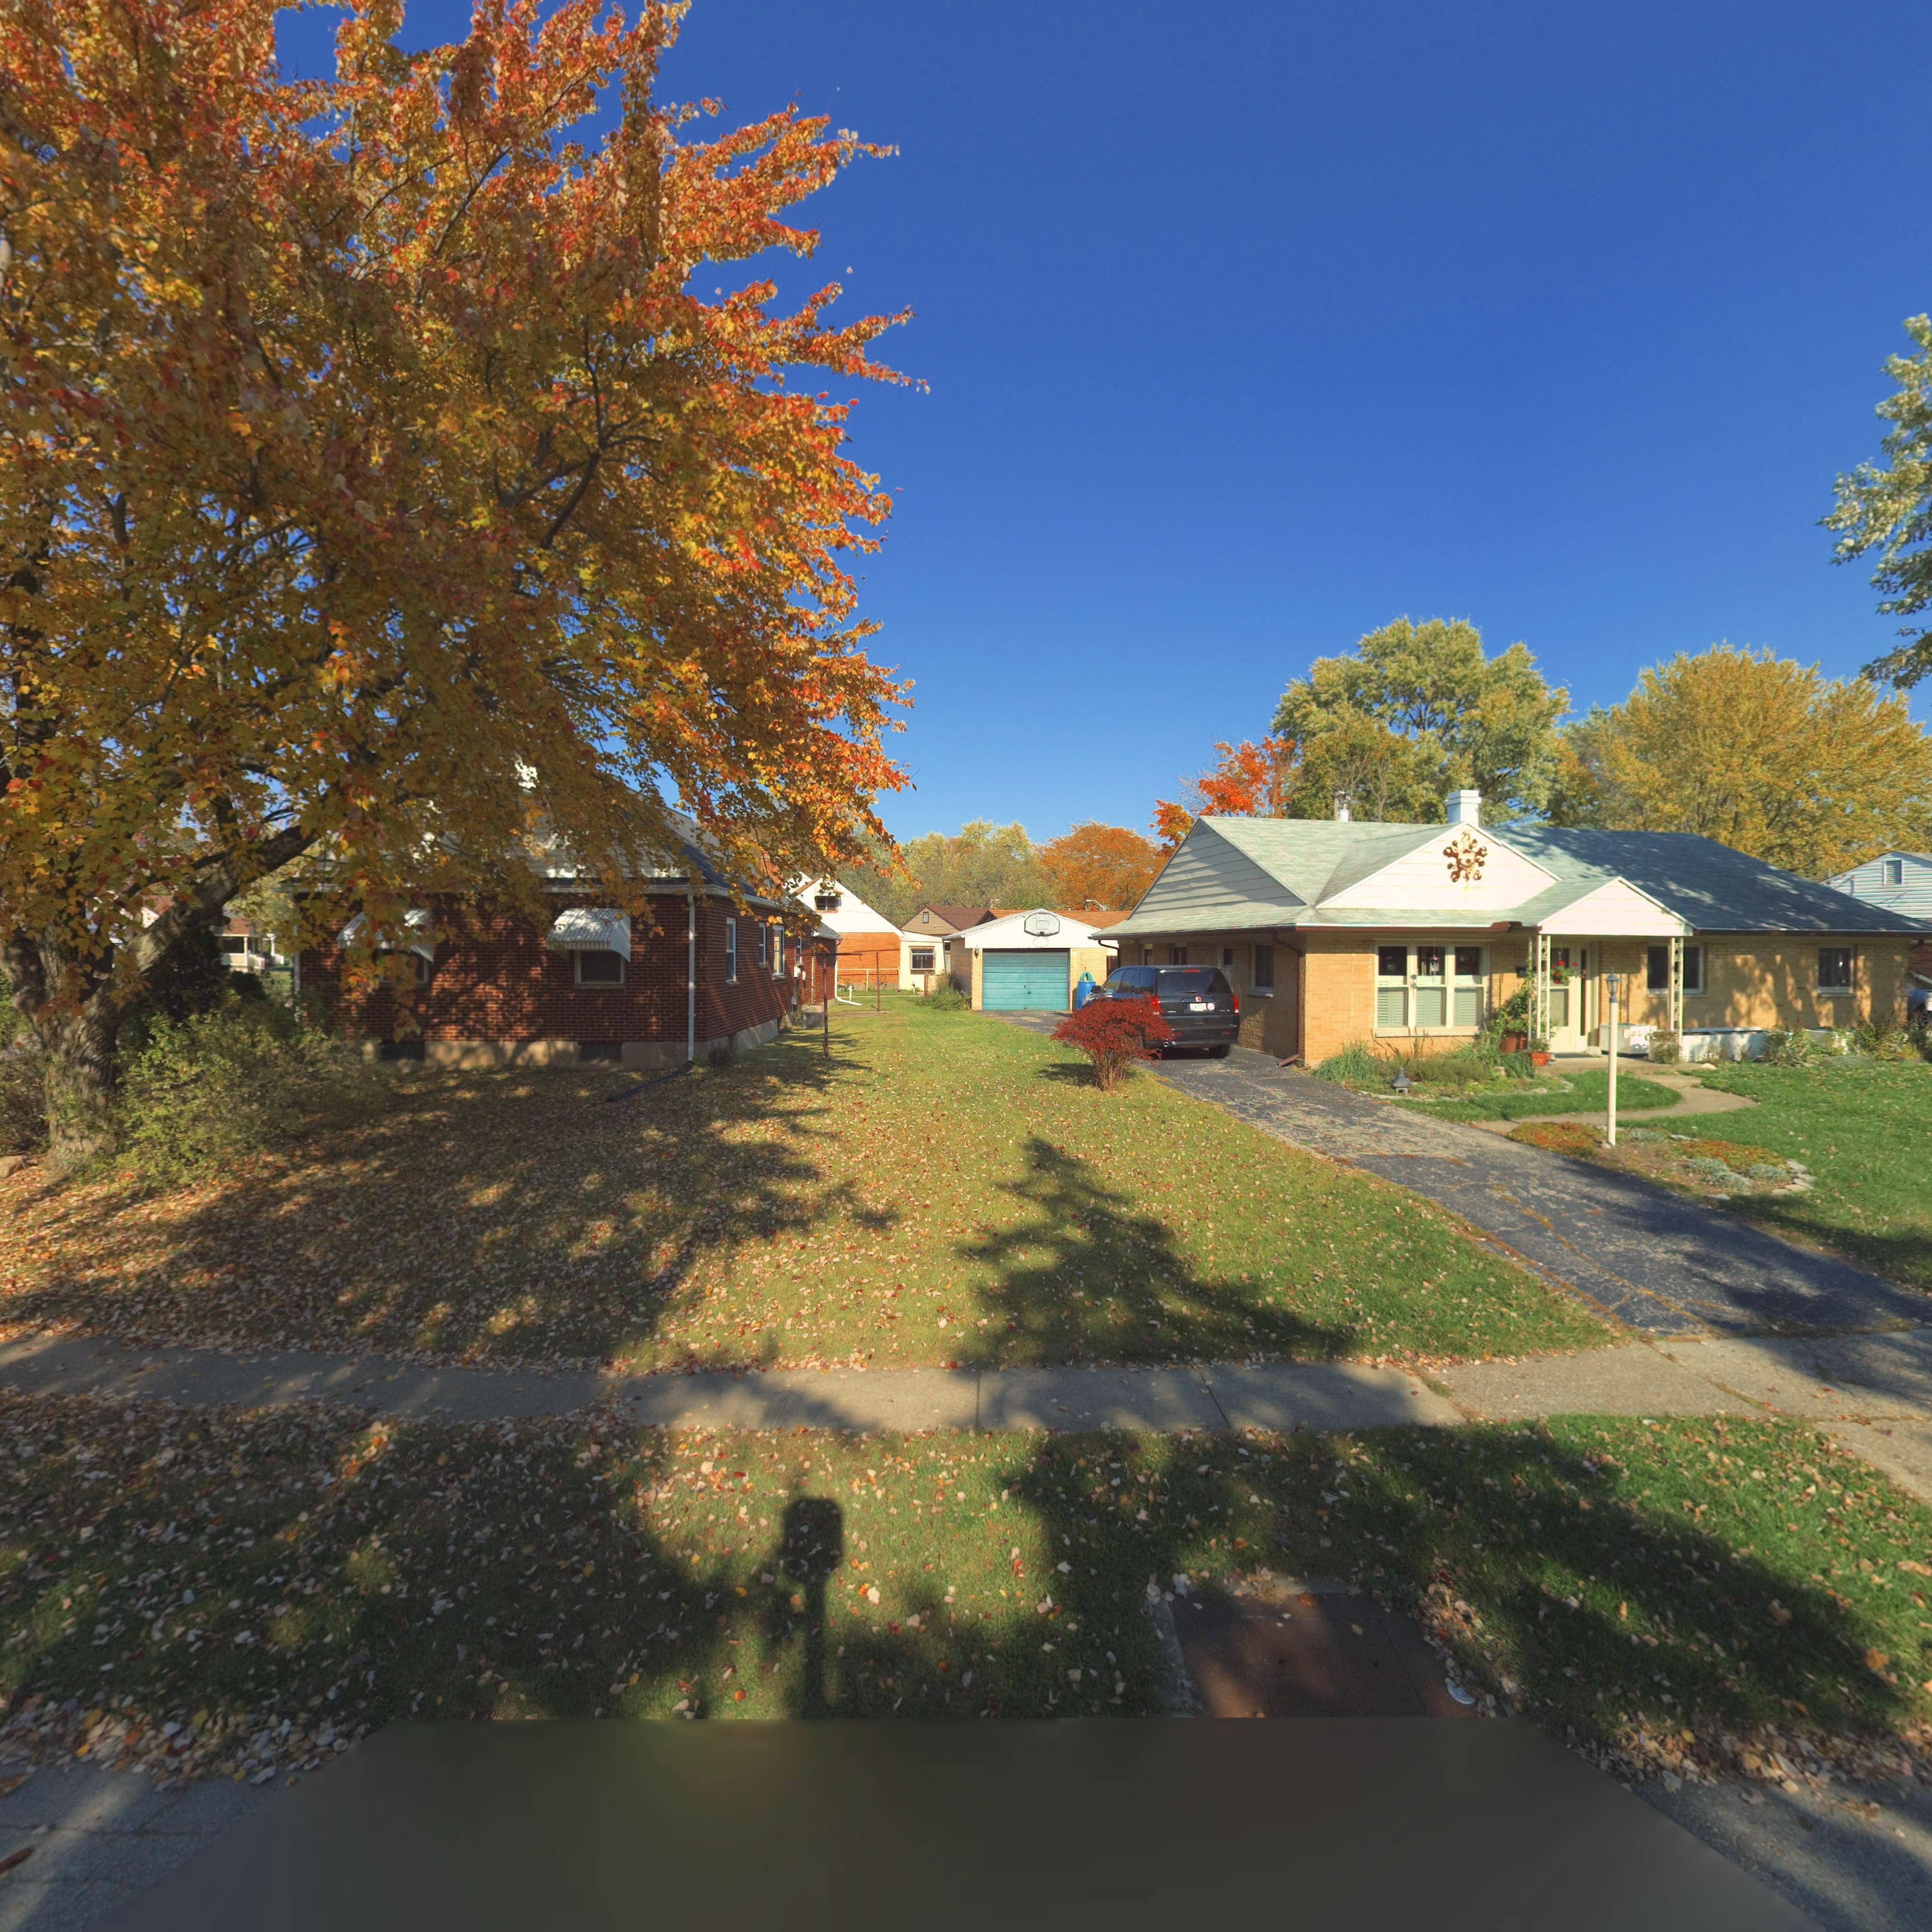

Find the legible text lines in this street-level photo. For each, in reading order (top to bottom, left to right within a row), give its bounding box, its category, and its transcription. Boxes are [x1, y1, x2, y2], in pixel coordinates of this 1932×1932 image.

[1190, 1004, 1207, 1011] None: *CW*83**
[1627, 1030, 1641, 1038] StreetNumber: 607